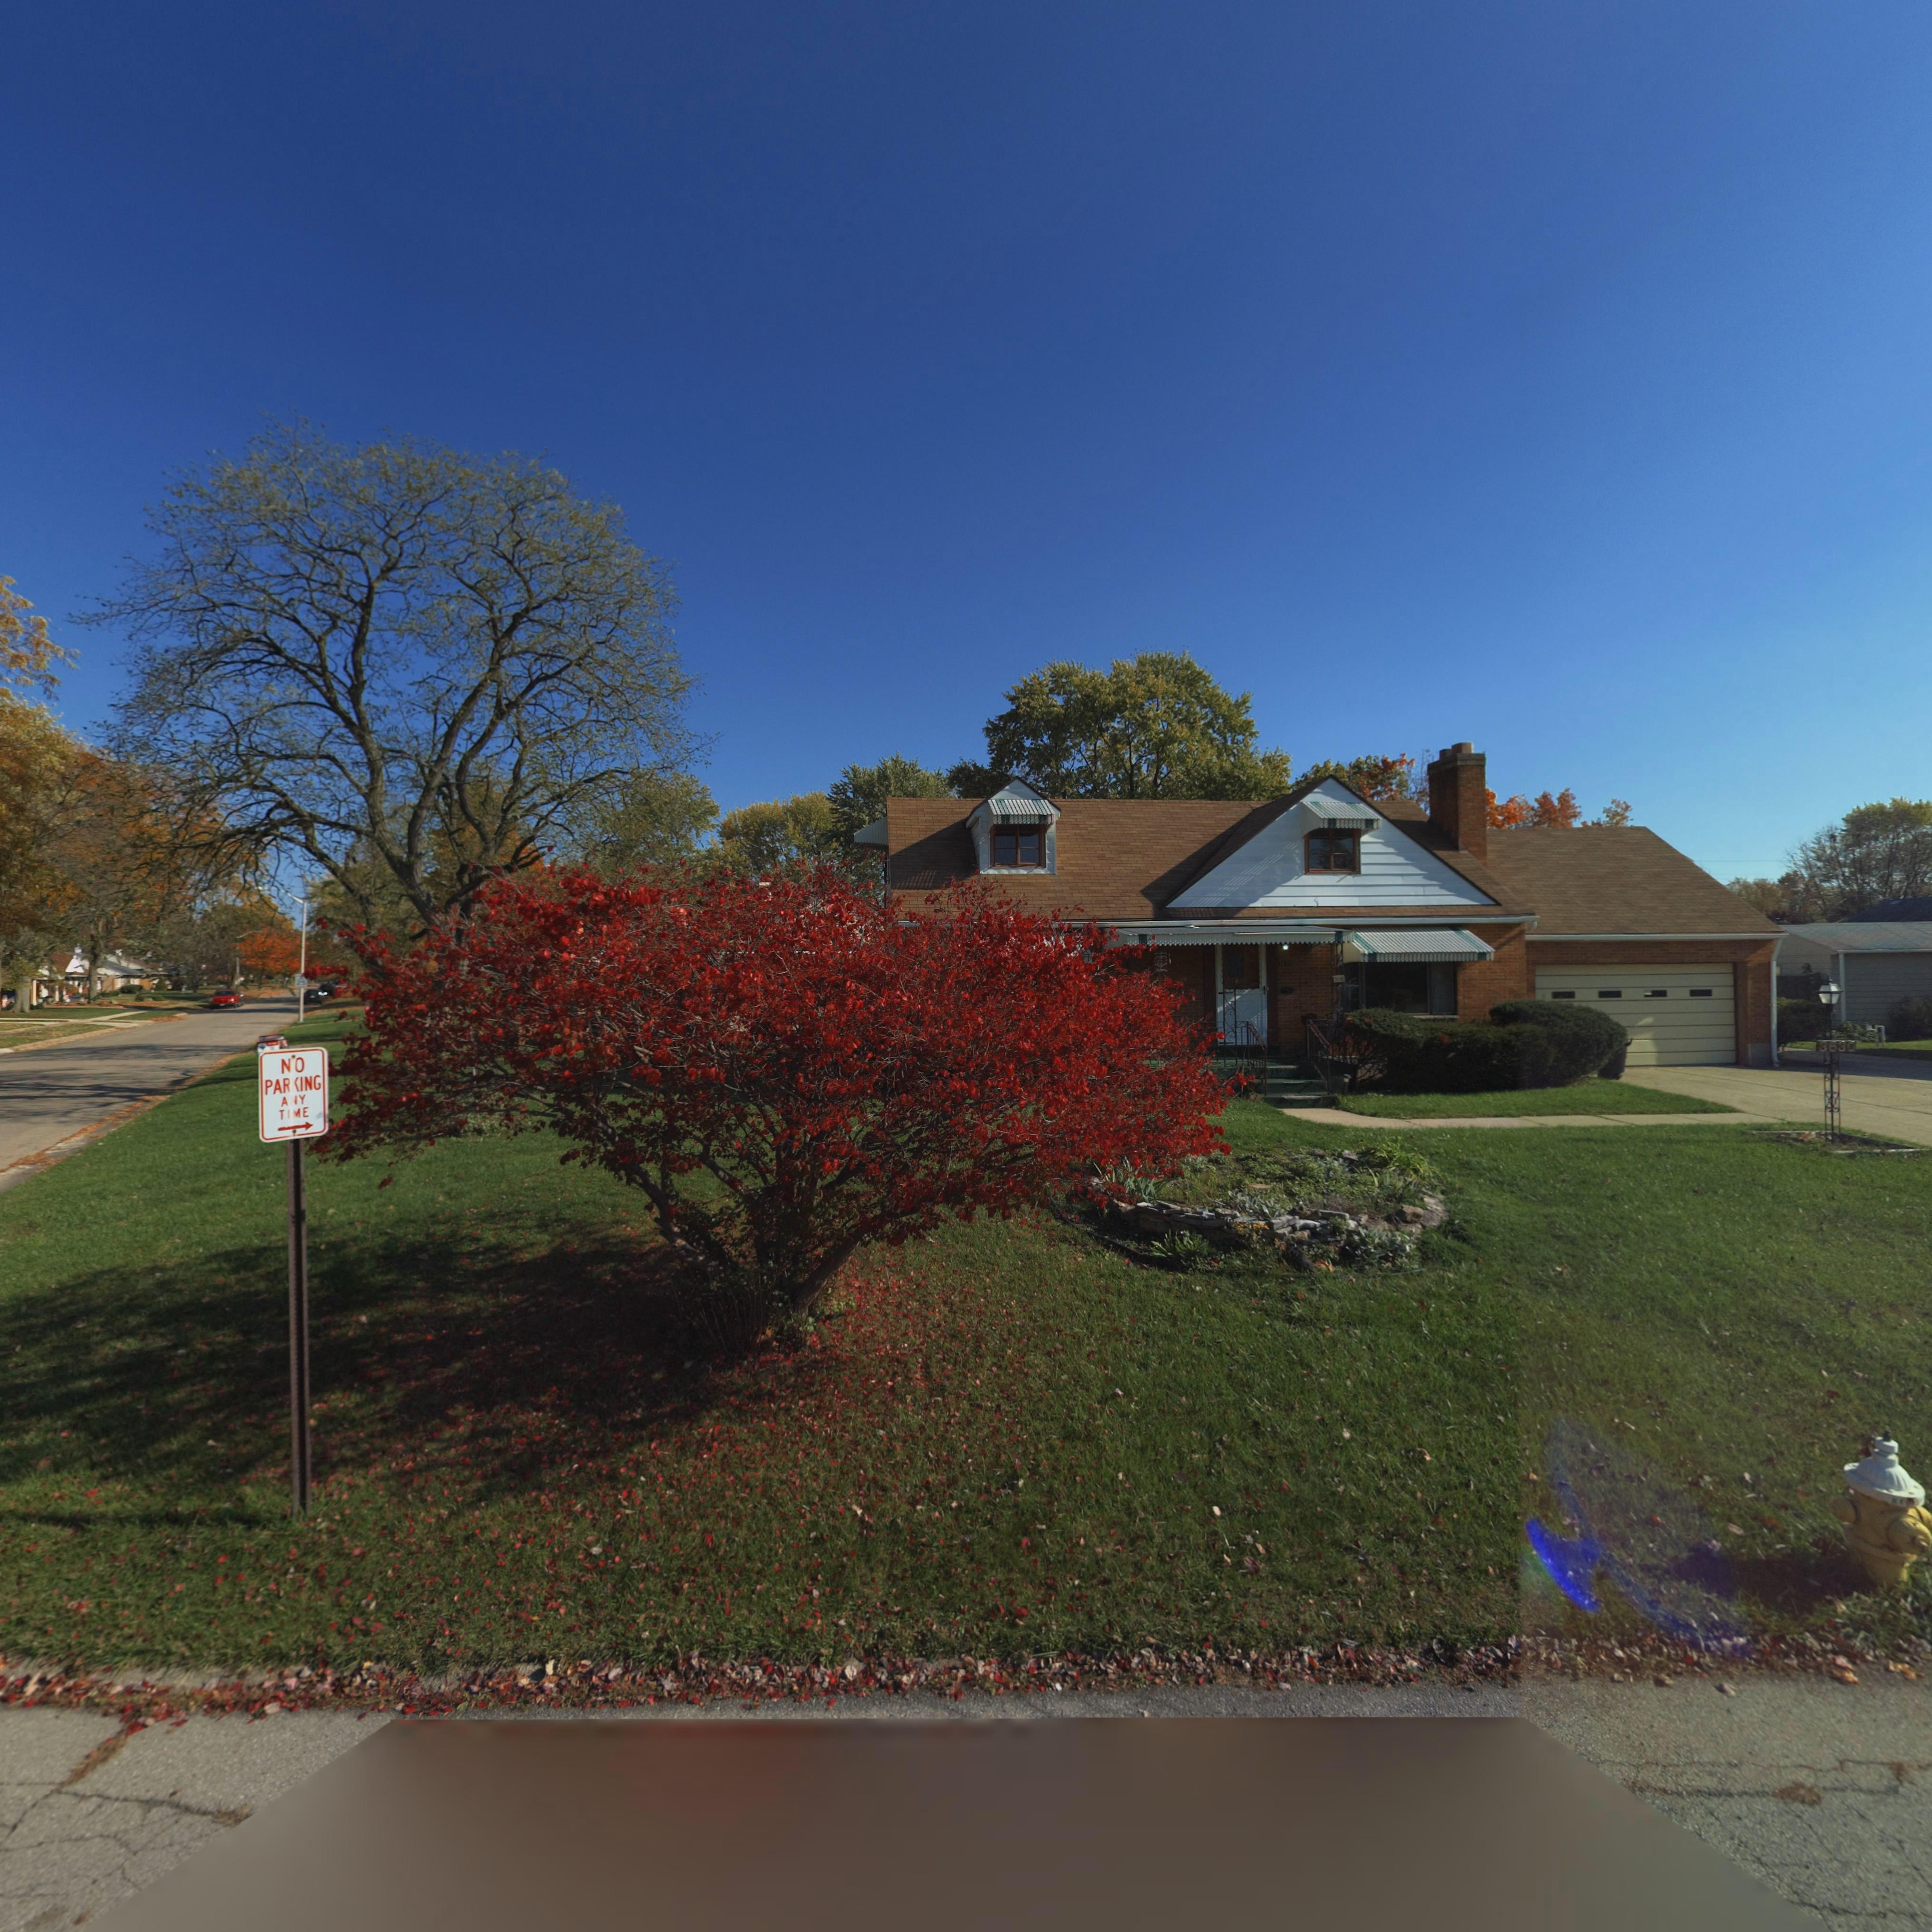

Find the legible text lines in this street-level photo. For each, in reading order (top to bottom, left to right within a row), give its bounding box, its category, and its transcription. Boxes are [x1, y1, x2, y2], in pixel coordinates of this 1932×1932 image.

[1277, 961, 1292, 967] StreetNumber: 3630
[296, 980, 307, 986] None: 25
[1818, 1041, 1856, 1053] StreetNumber: 3630
[280, 1057, 305, 1075] None: NO
[264, 1074, 321, 1096] None: PAR*ING
[280, 1093, 307, 1108] None: A*Y
[278, 1106, 309, 1121] None: TIME